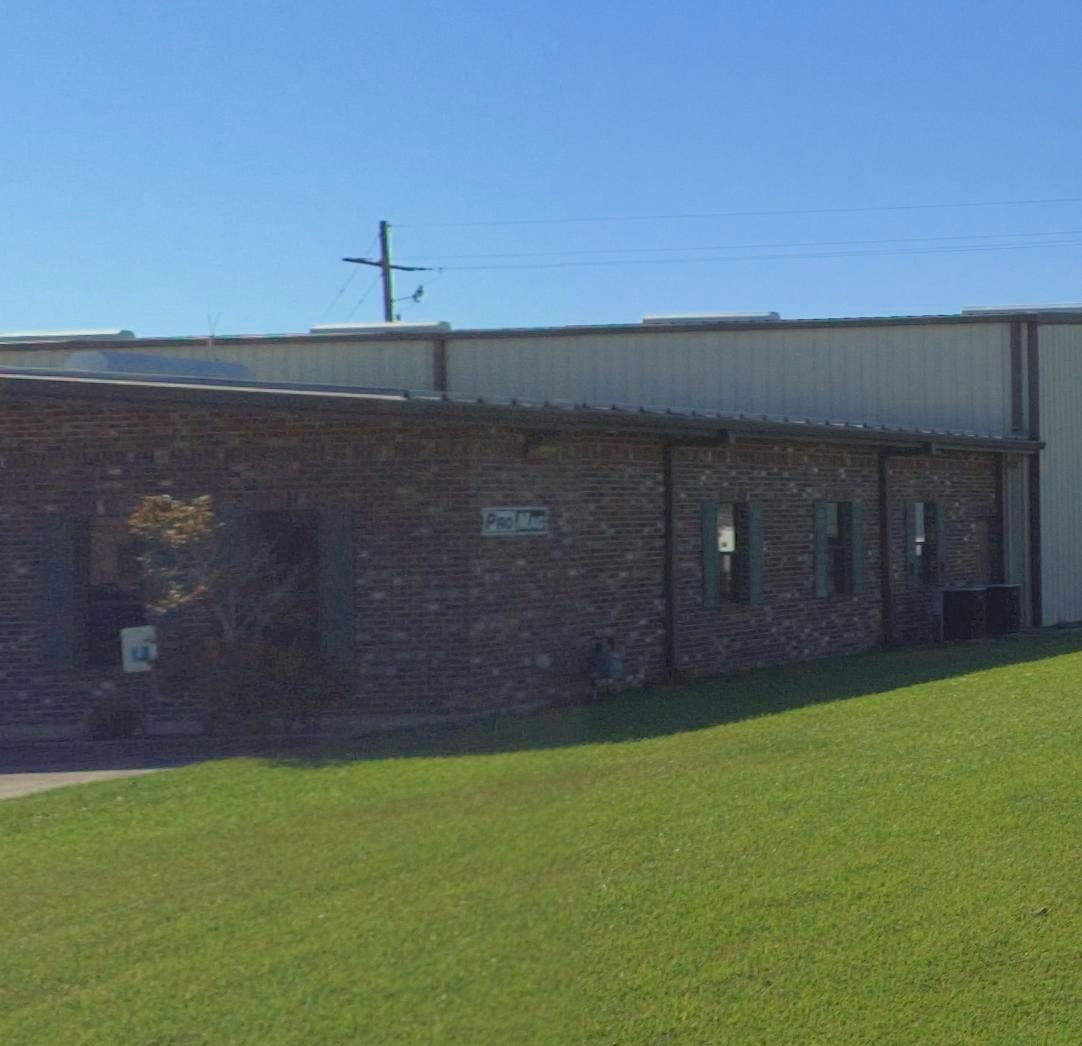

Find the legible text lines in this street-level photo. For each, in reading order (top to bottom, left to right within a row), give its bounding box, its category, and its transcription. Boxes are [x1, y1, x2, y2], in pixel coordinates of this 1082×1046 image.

[483, 508, 546, 533] BusinessName: PRO MAG